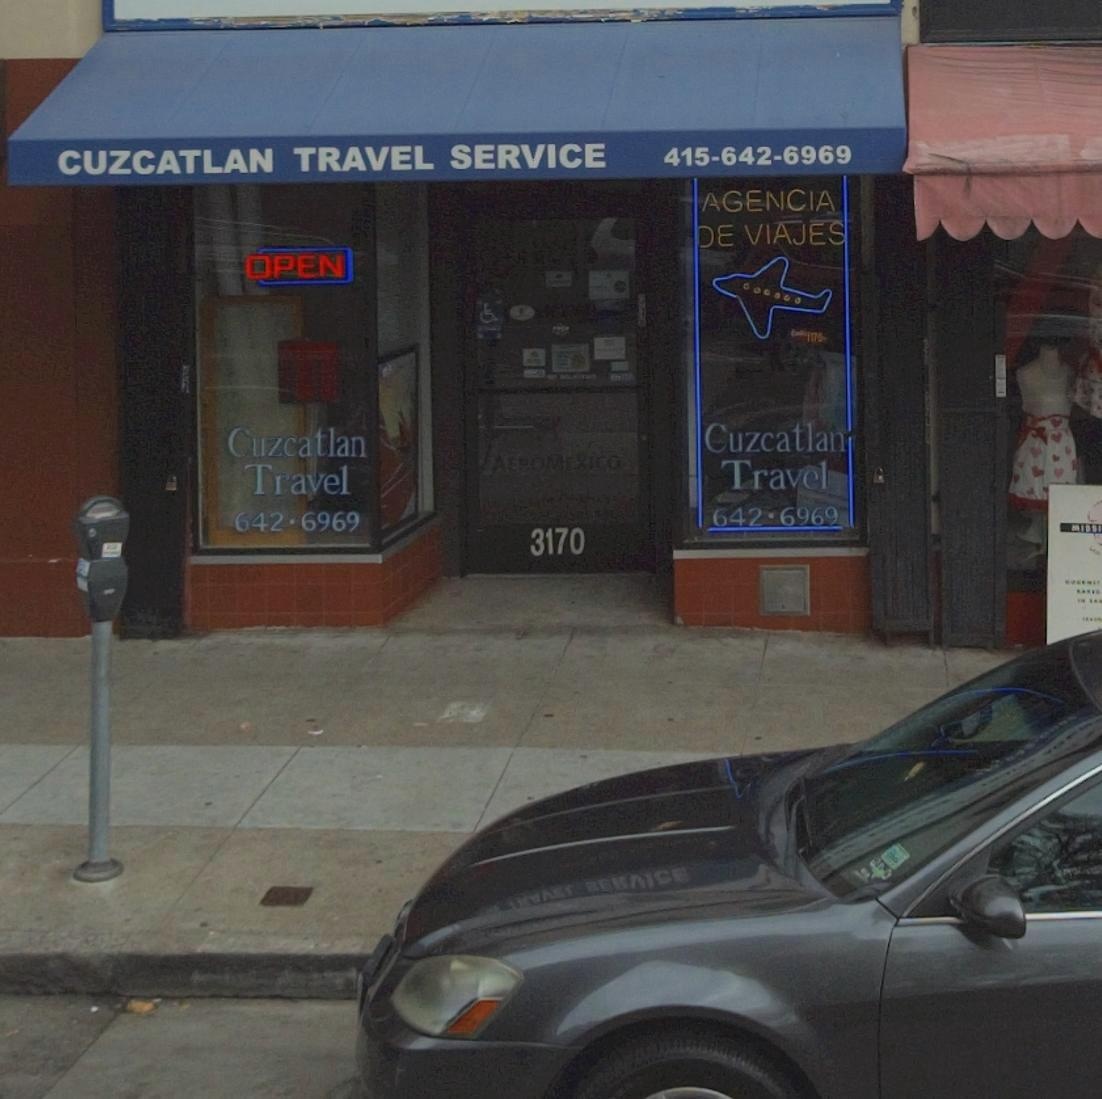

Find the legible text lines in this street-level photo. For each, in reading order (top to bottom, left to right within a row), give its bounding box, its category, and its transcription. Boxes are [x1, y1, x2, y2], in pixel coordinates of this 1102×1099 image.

[53, 141, 607, 177] BusinessName: CUZCATLAN TRAVEL SERVICE
[661, 144, 853, 168] None: 415-642-6969
[698, 188, 838, 216] None: AGENCIA
[695, 221, 847, 250] None: DE VIAJES
[244, 252, 346, 281] None: OPEN
[226, 424, 369, 460] BusinessName: Cuzcatlan
[702, 420, 848, 455] BusinessName: Cuzcatlan
[242, 462, 354, 497] BusinessName: Travel
[488, 453, 622, 476] None: AeroMexico
[719, 458, 831, 492] BusinessName: Travel
[232, 509, 362, 534] None: 642-6969
[528, 525, 587, 558] StreetNumber: 3170
[711, 505, 841, 528] None: 642-6969
[1070, 523, 1102, 533] None: MISSI